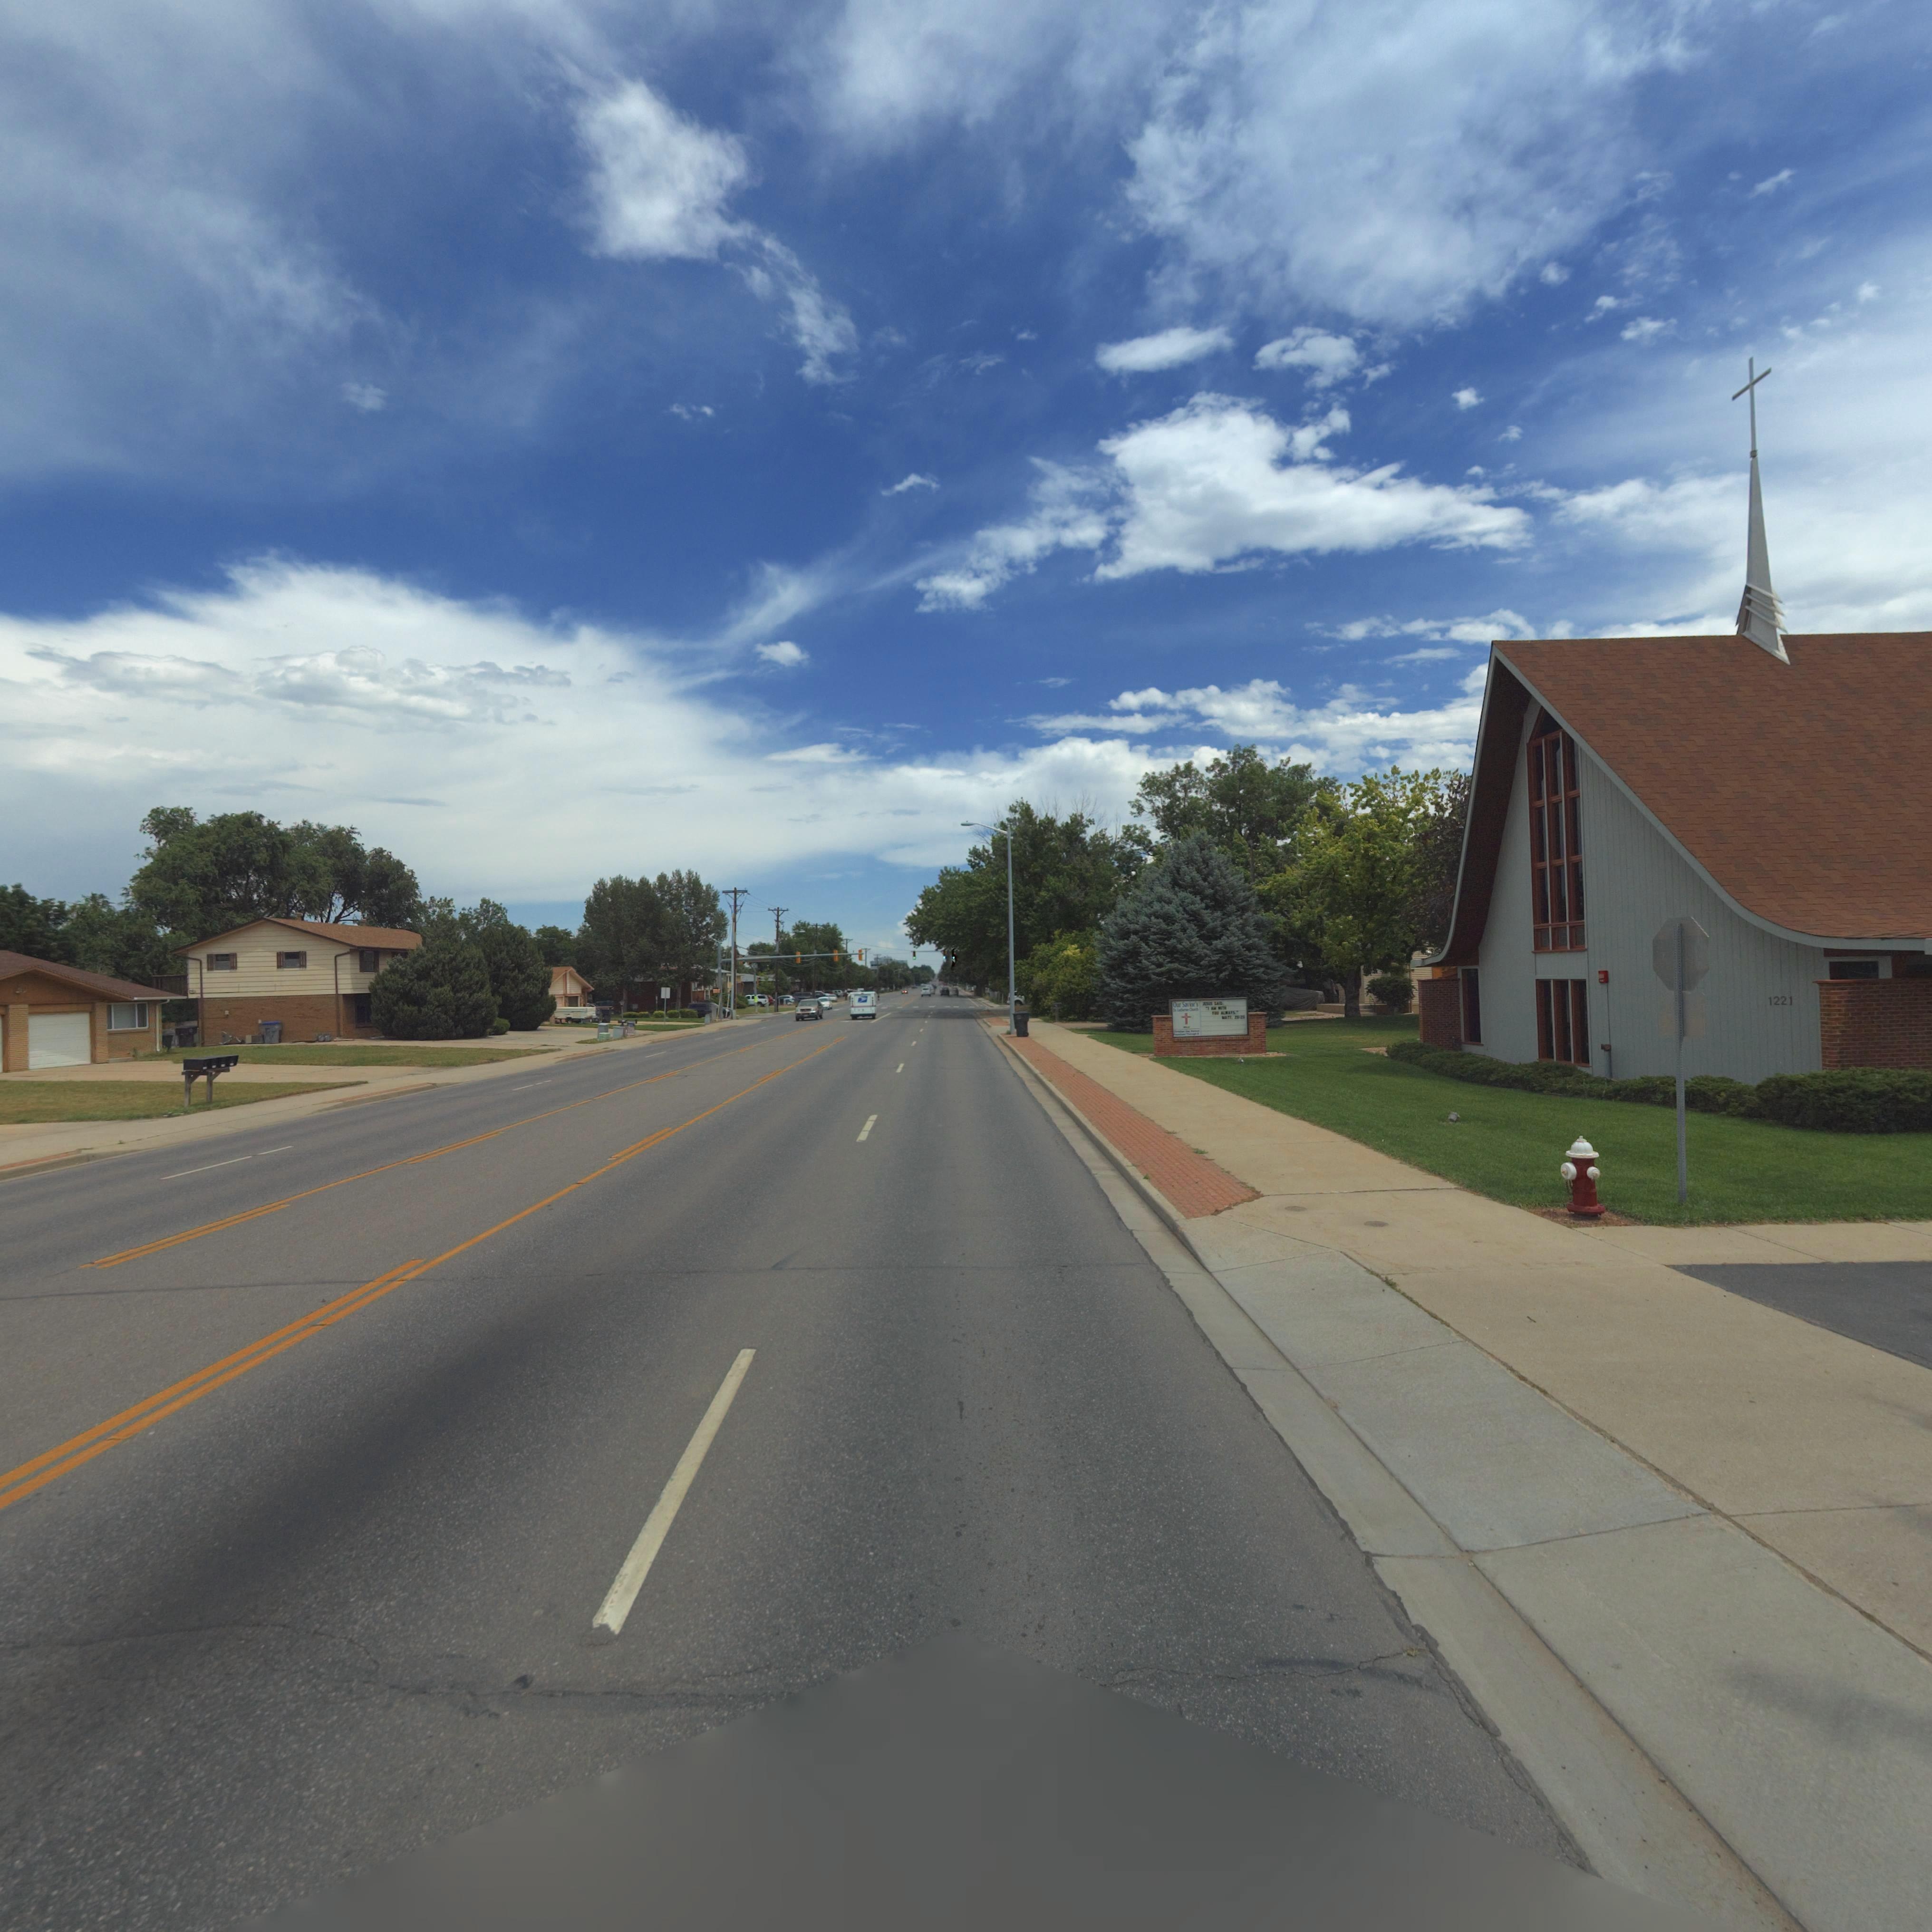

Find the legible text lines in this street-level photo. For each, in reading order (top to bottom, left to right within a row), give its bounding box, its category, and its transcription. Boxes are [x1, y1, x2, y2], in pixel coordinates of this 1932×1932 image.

[1172, 1000, 1199, 1007] StreetNumber: Our Sa**or's
[1768, 995, 1793, 1006] StreetNumber: 1221
[1172, 1007, 1199, 1012] BusinessName: St. Lutheran Church